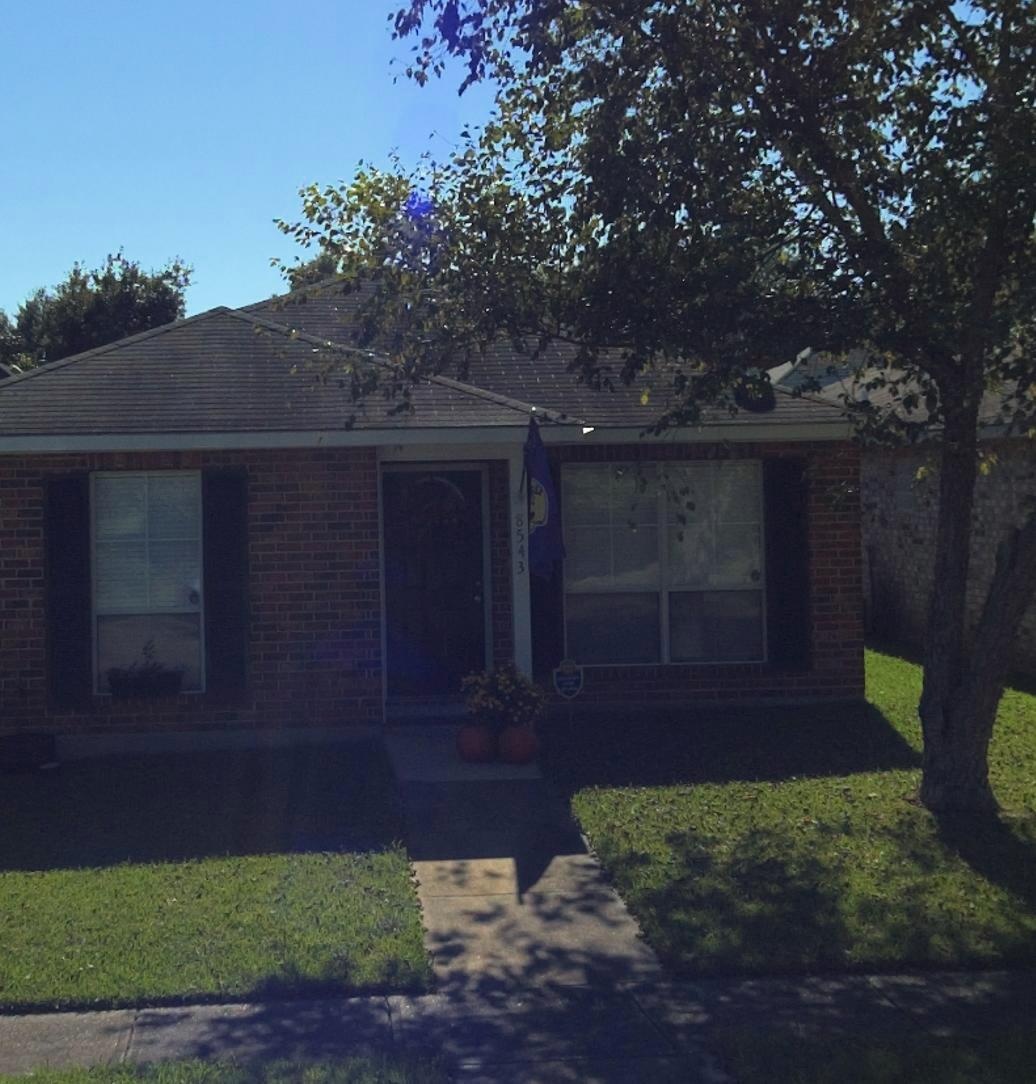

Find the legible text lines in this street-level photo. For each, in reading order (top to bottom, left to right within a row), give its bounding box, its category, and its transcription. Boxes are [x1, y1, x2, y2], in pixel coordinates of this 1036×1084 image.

[515, 512, 527, 577] StreetNumber: 8543